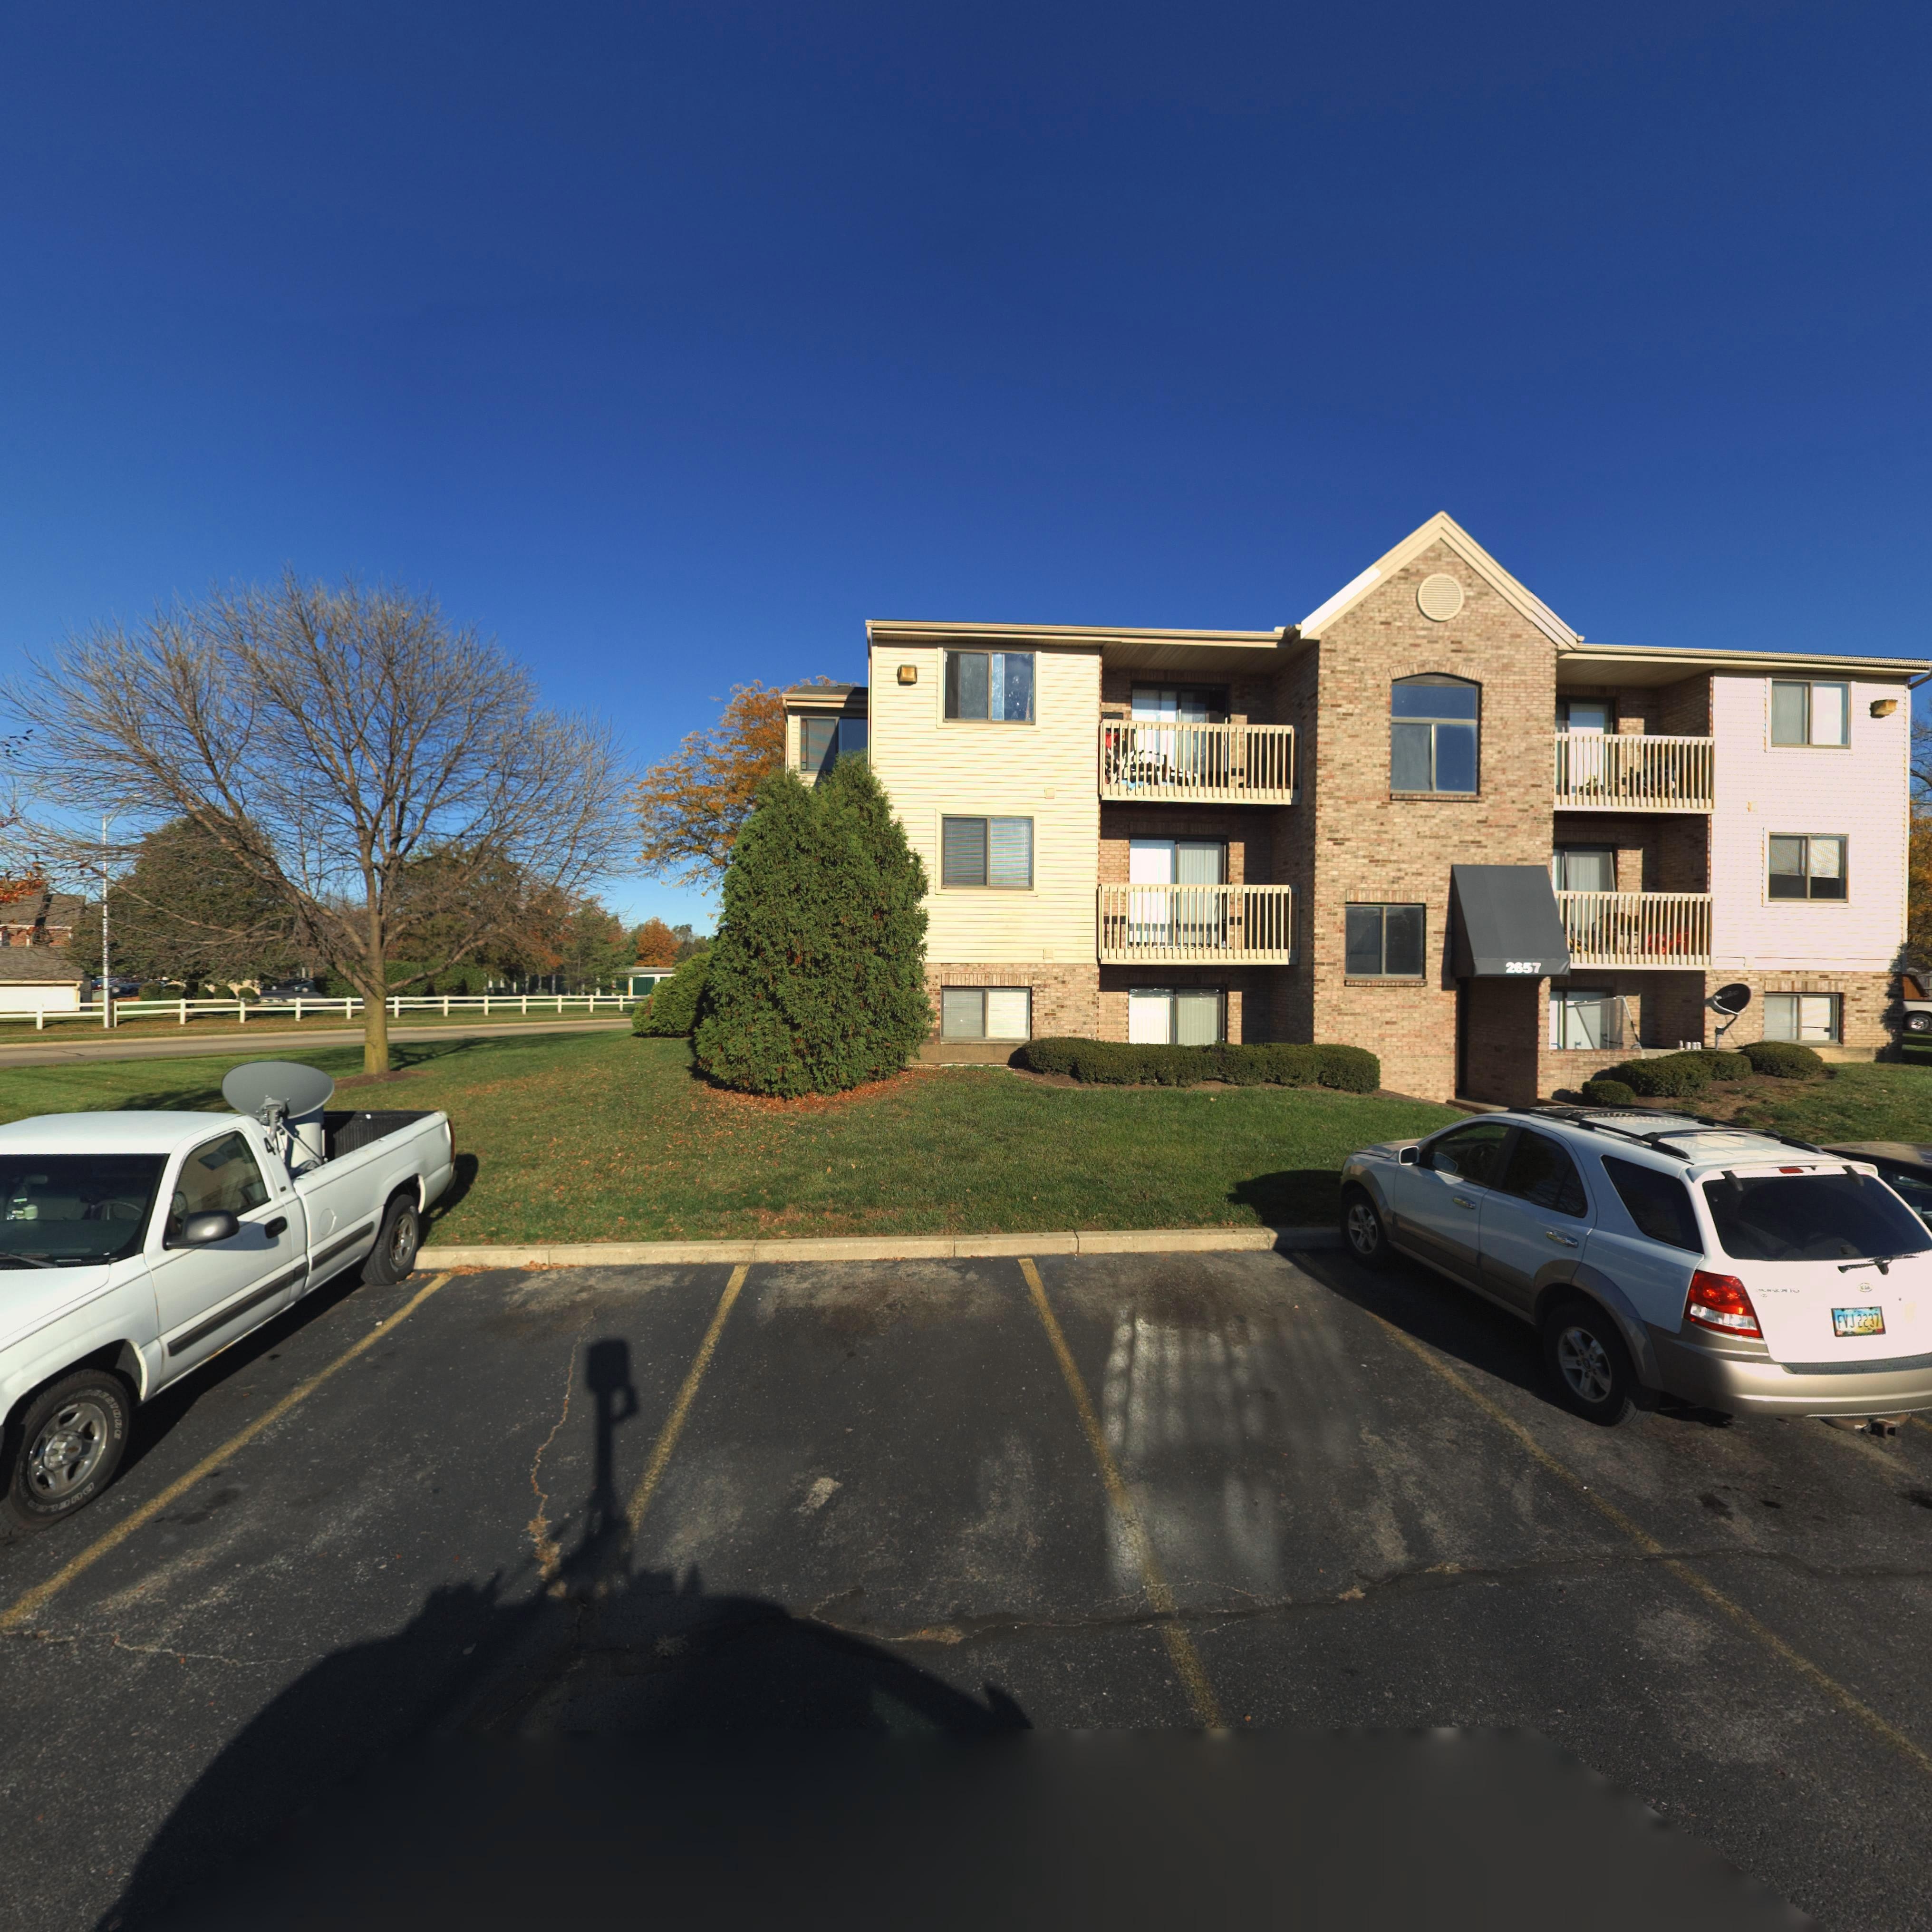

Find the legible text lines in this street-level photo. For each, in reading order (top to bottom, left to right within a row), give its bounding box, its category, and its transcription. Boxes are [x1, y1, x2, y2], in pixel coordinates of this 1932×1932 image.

[1505, 961, 1542, 974] StreetNumber: 2657